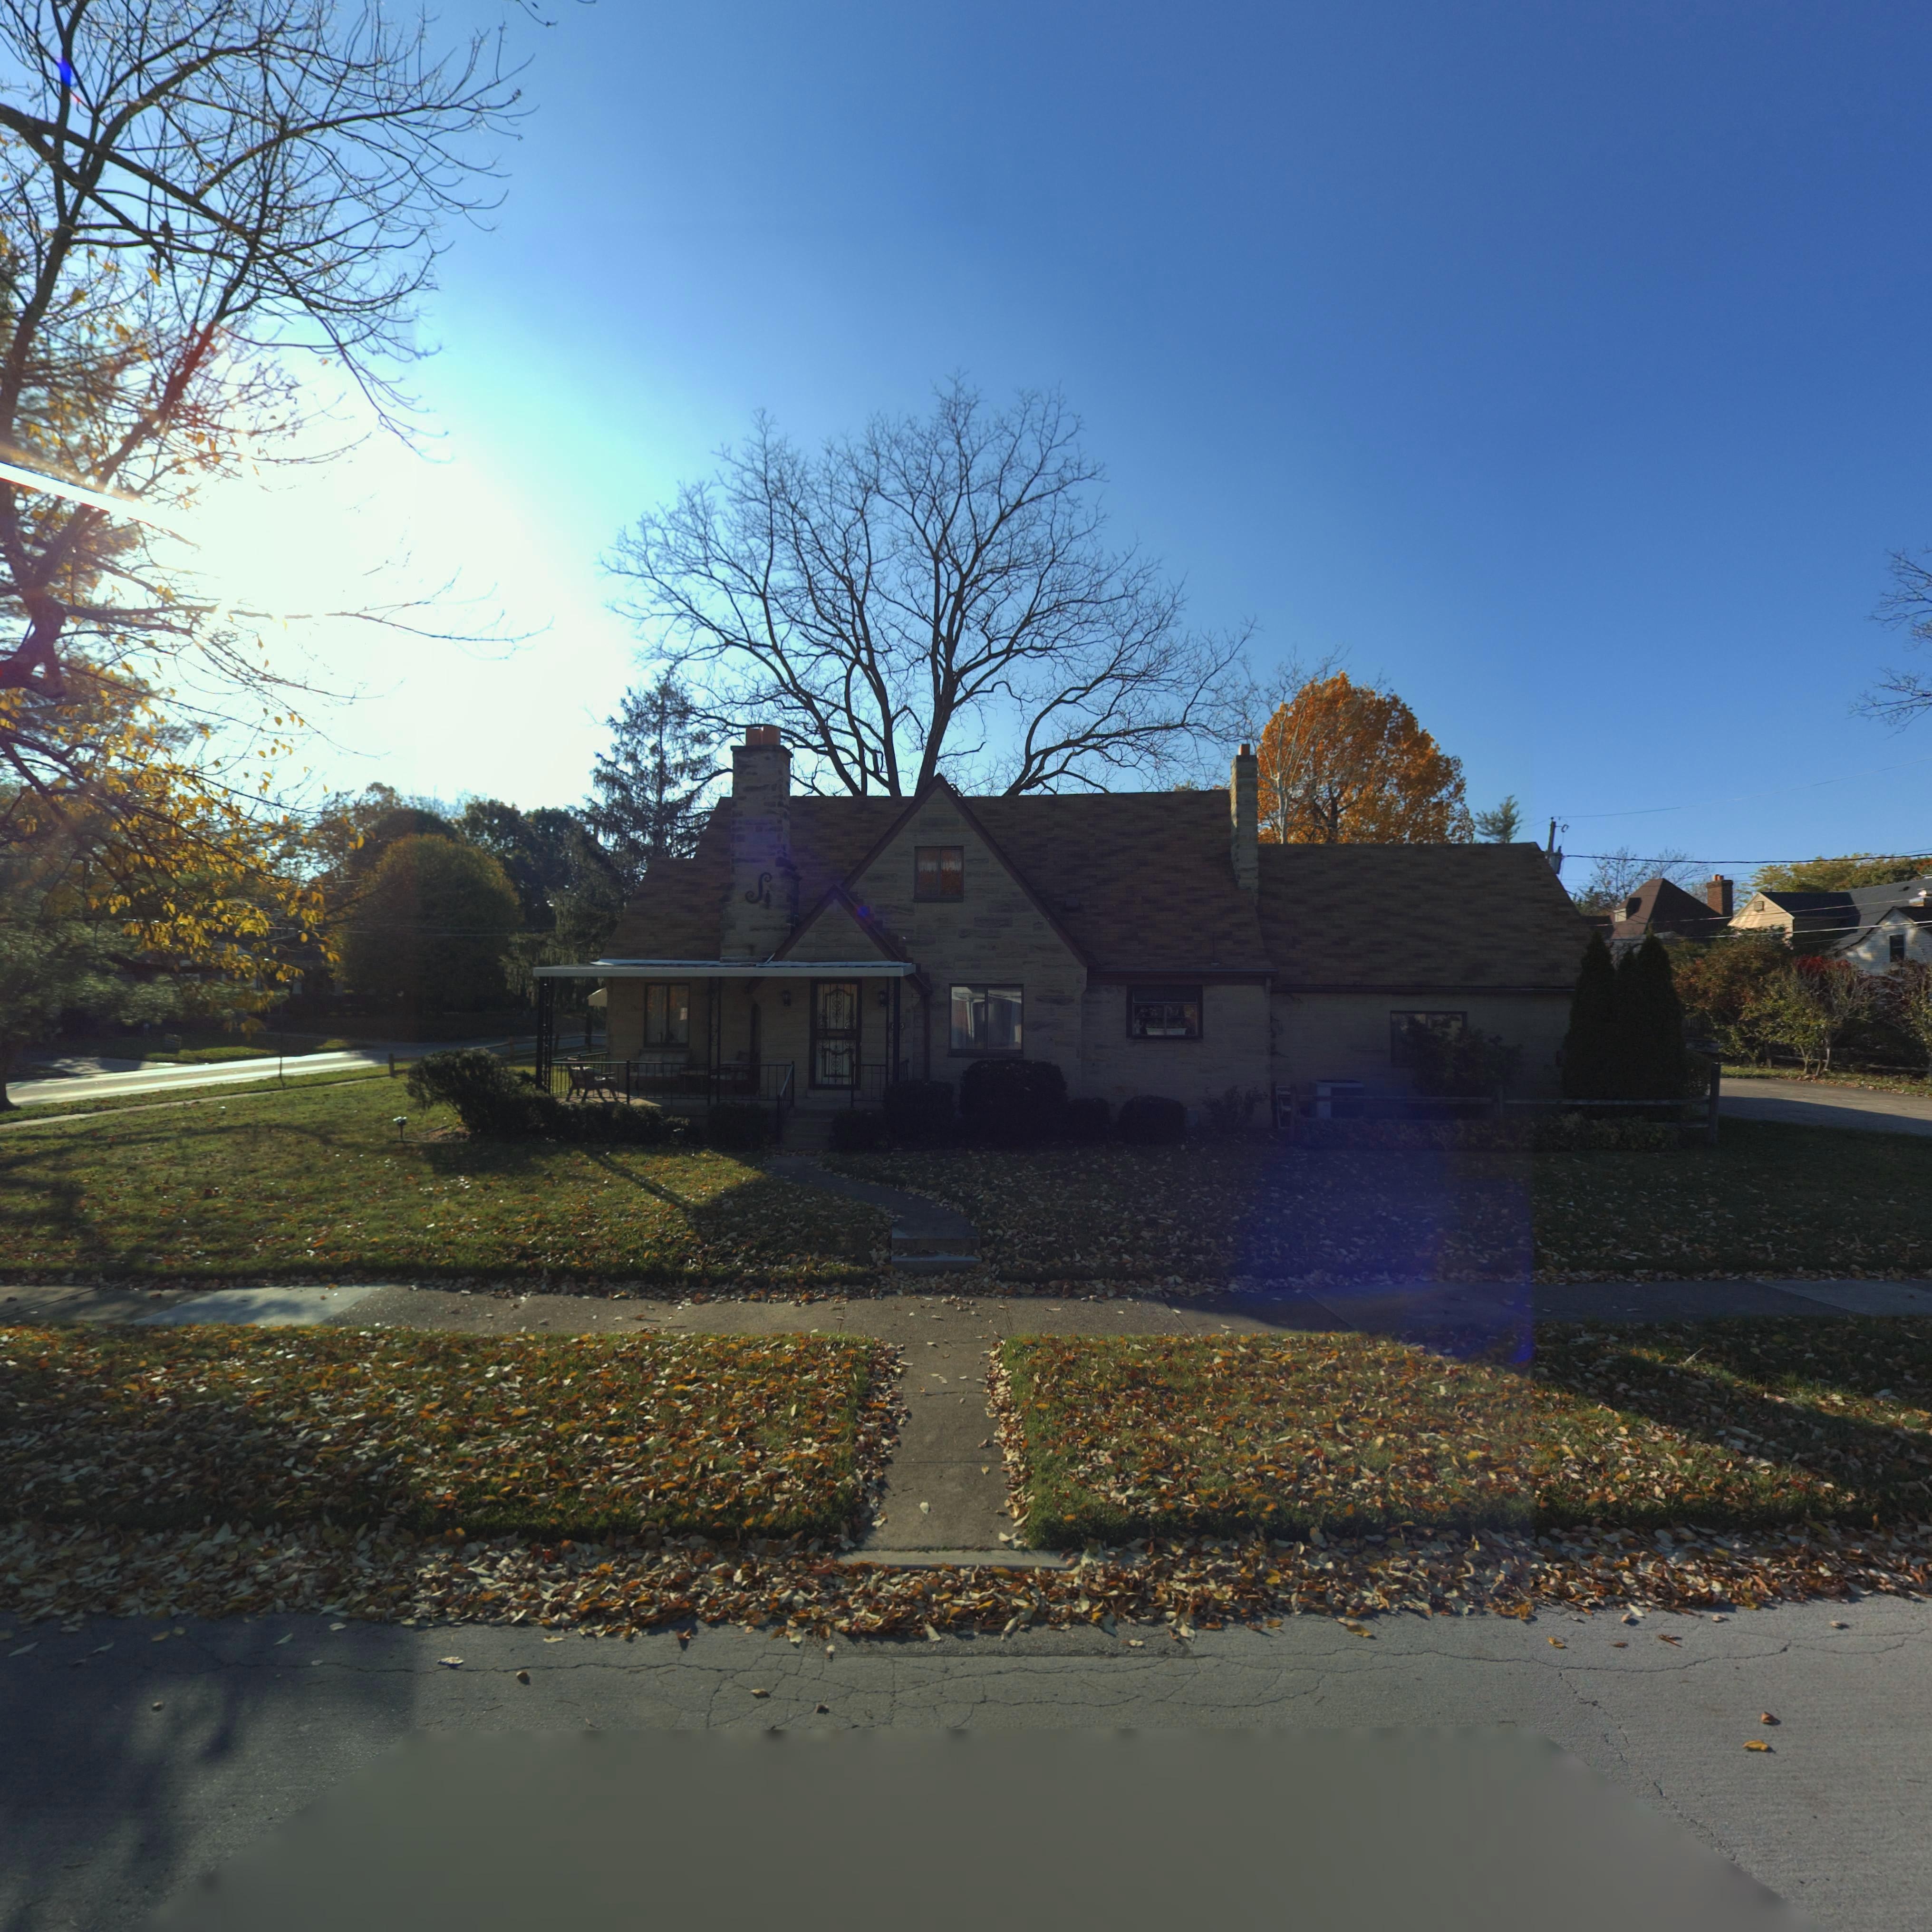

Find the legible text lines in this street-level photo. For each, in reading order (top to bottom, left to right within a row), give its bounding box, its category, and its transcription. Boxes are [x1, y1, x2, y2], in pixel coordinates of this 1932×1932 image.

[891, 1023, 905, 1029] StreetNumber: **5